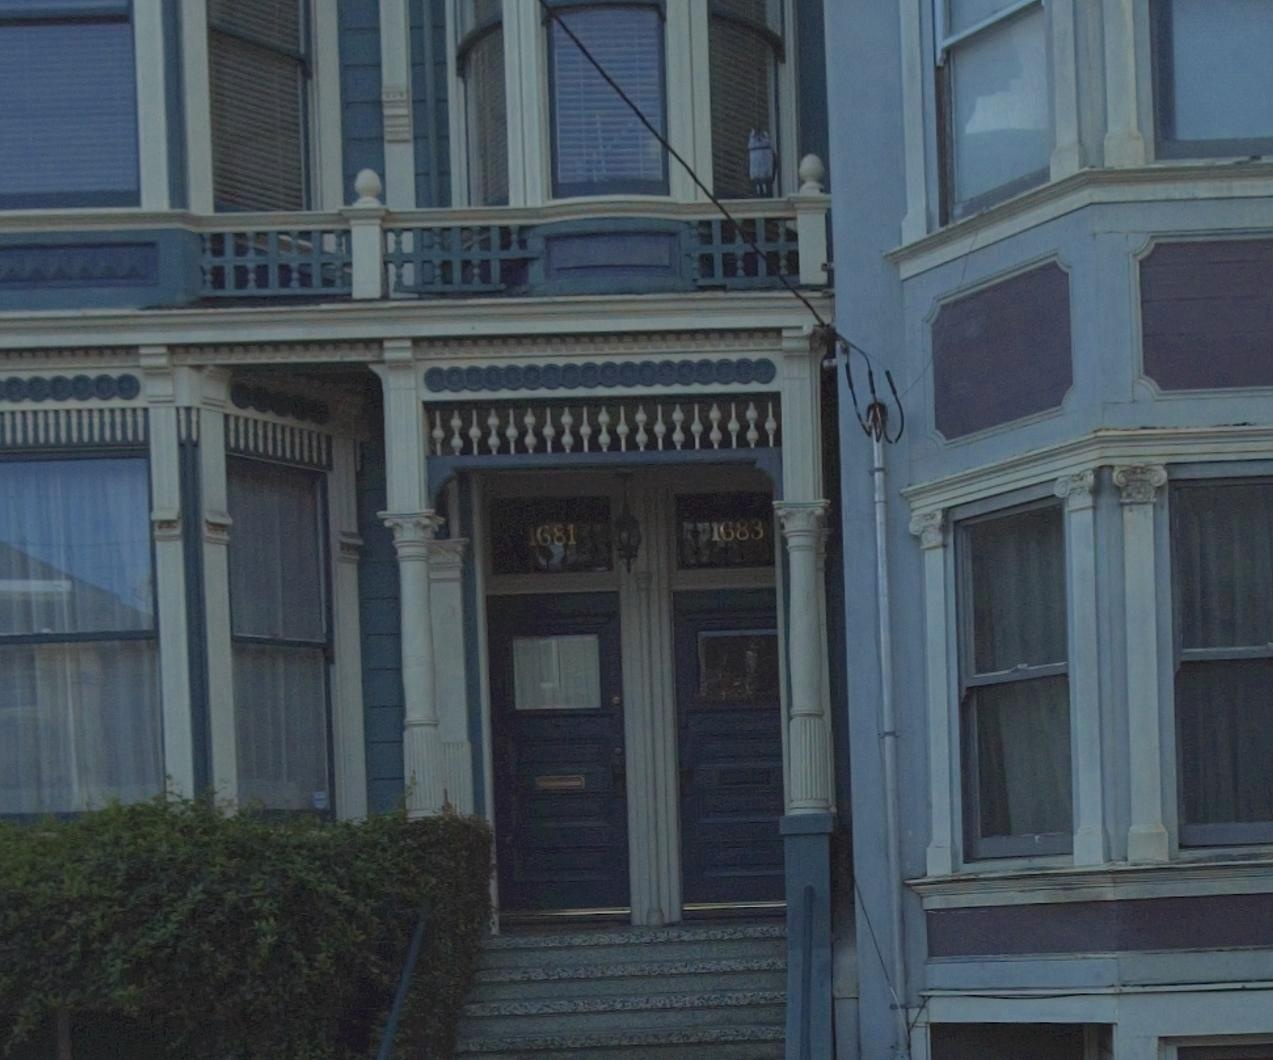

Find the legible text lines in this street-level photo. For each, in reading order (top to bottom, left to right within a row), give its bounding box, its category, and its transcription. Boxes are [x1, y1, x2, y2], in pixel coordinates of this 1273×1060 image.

[526, 520, 579, 549] StreetNumber: 1681
[707, 514, 767, 544] StreetNumber: 1683